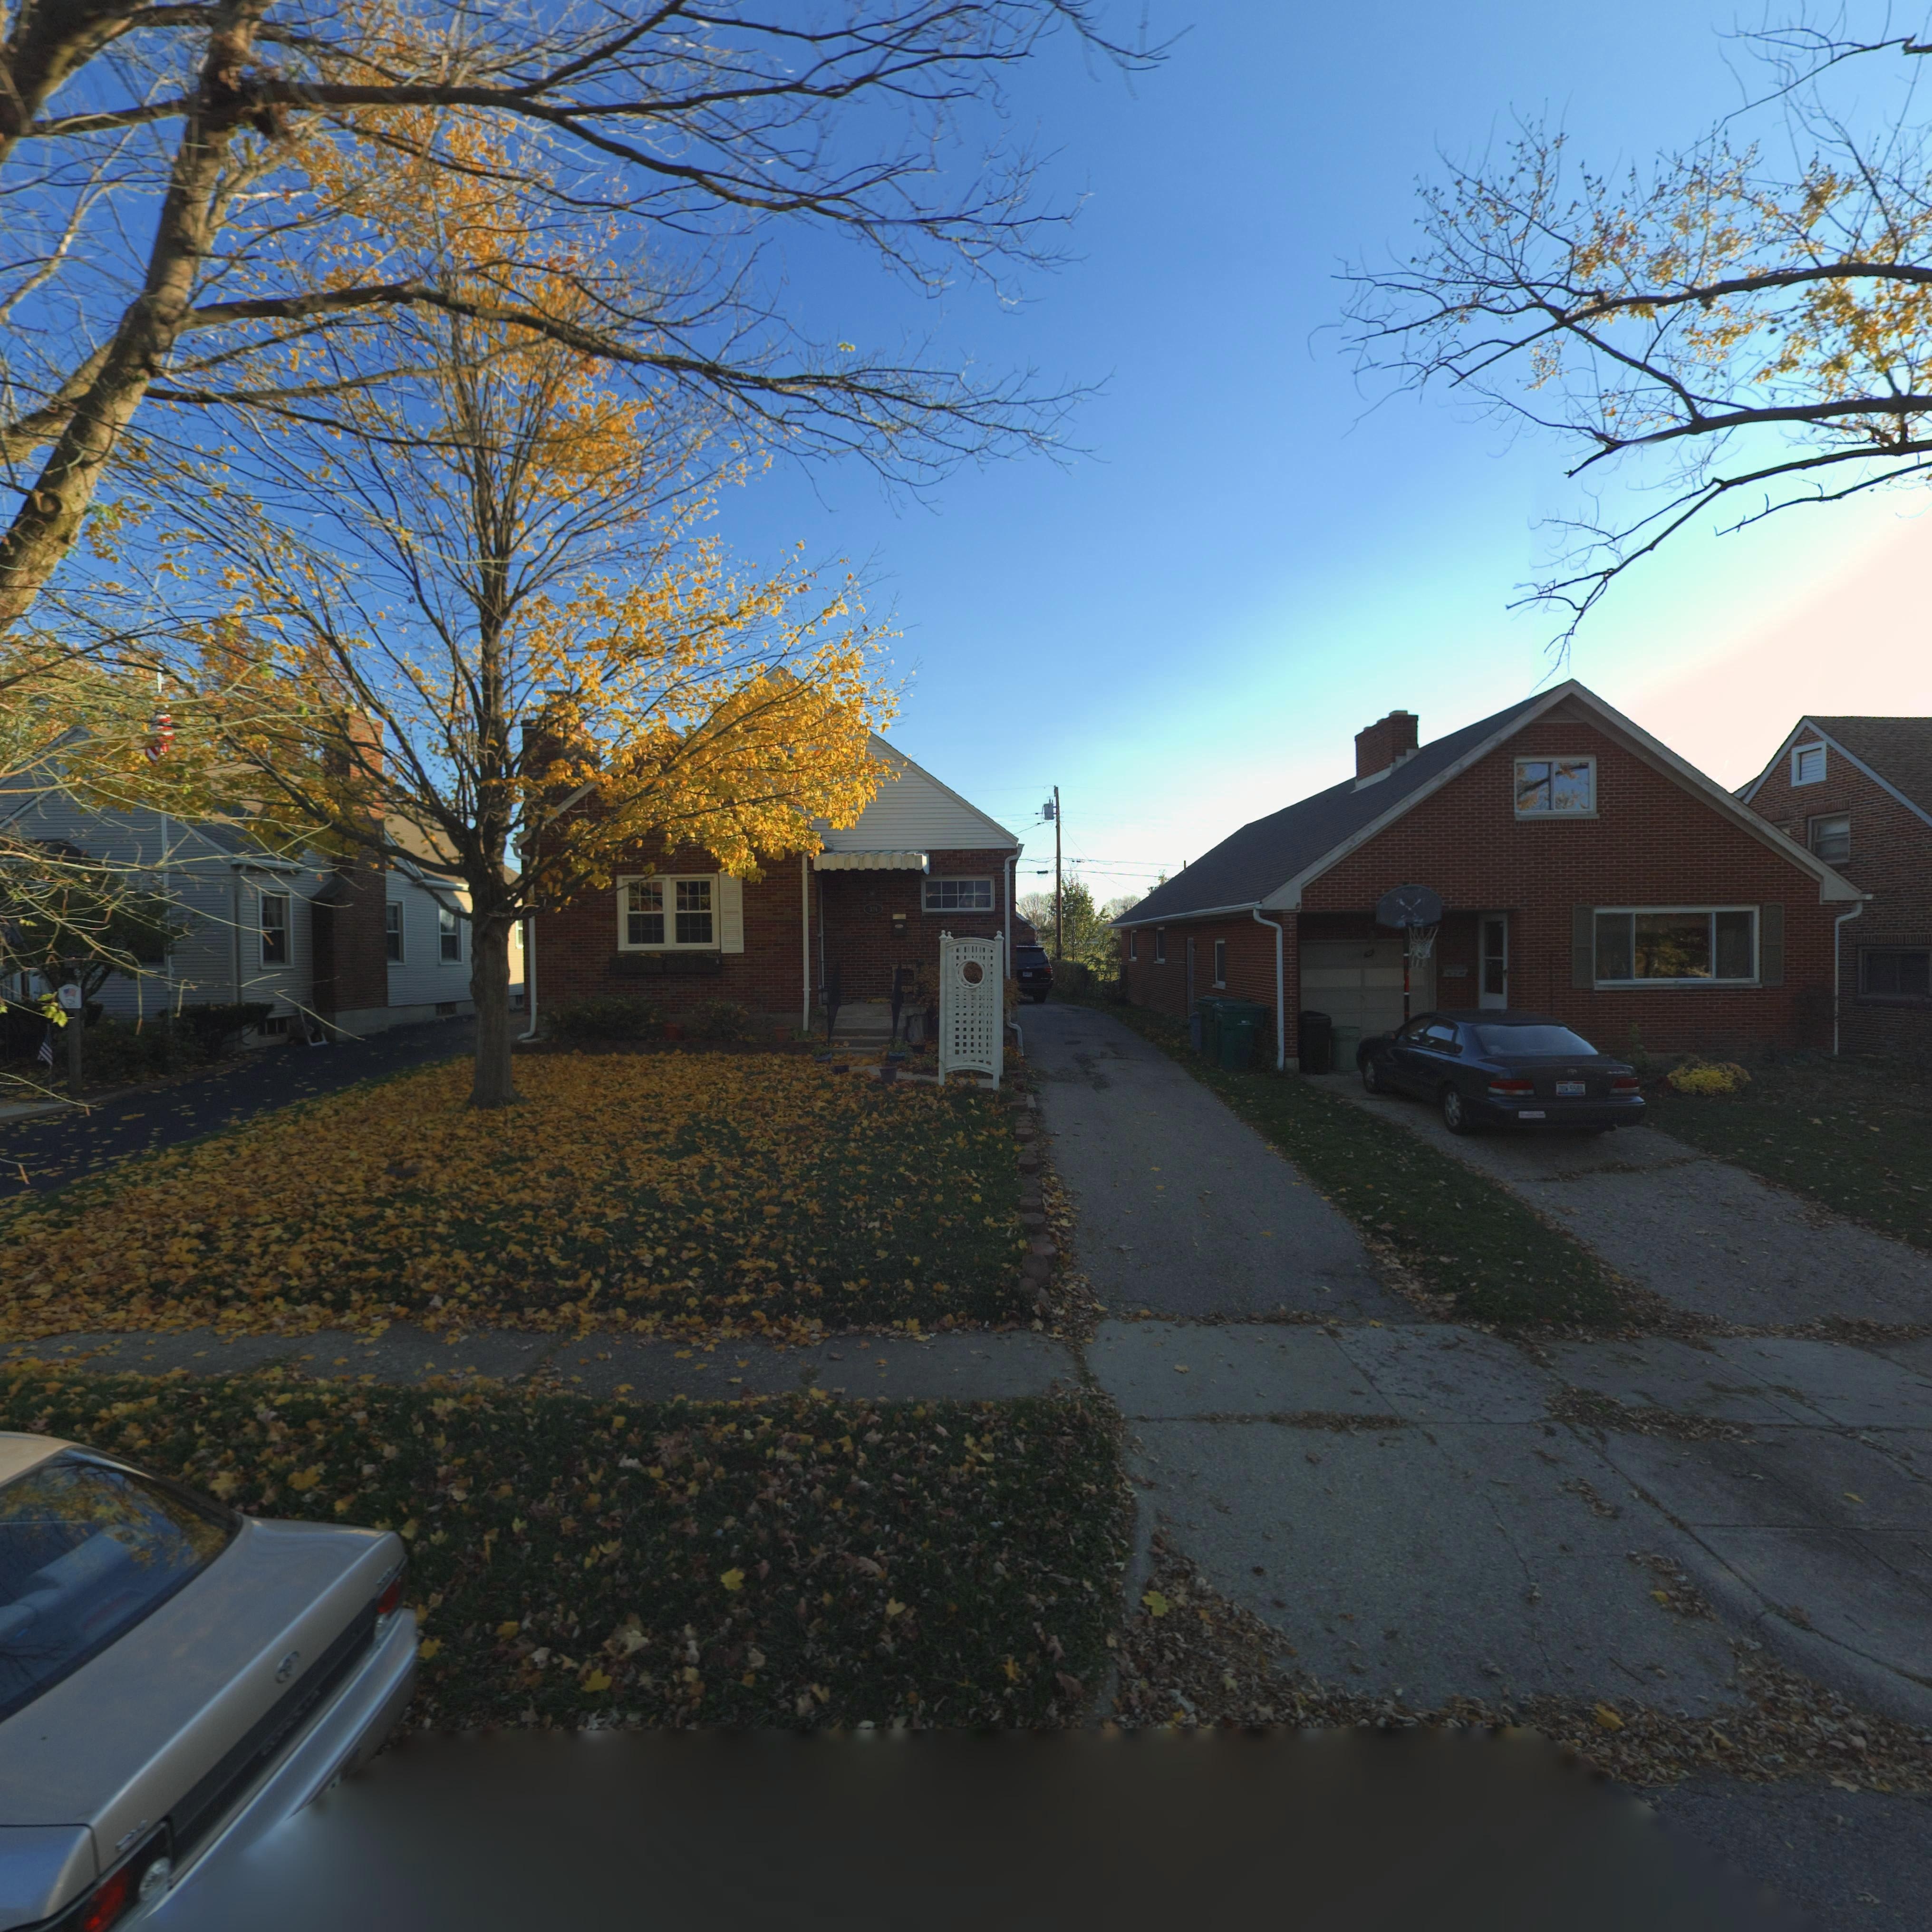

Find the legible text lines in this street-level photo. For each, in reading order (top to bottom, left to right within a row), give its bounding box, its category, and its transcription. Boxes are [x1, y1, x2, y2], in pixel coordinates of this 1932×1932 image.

[869, 906, 878, 912] StreetNumber: 324
[63, 998, 76, 1005] StreetNumber: 328